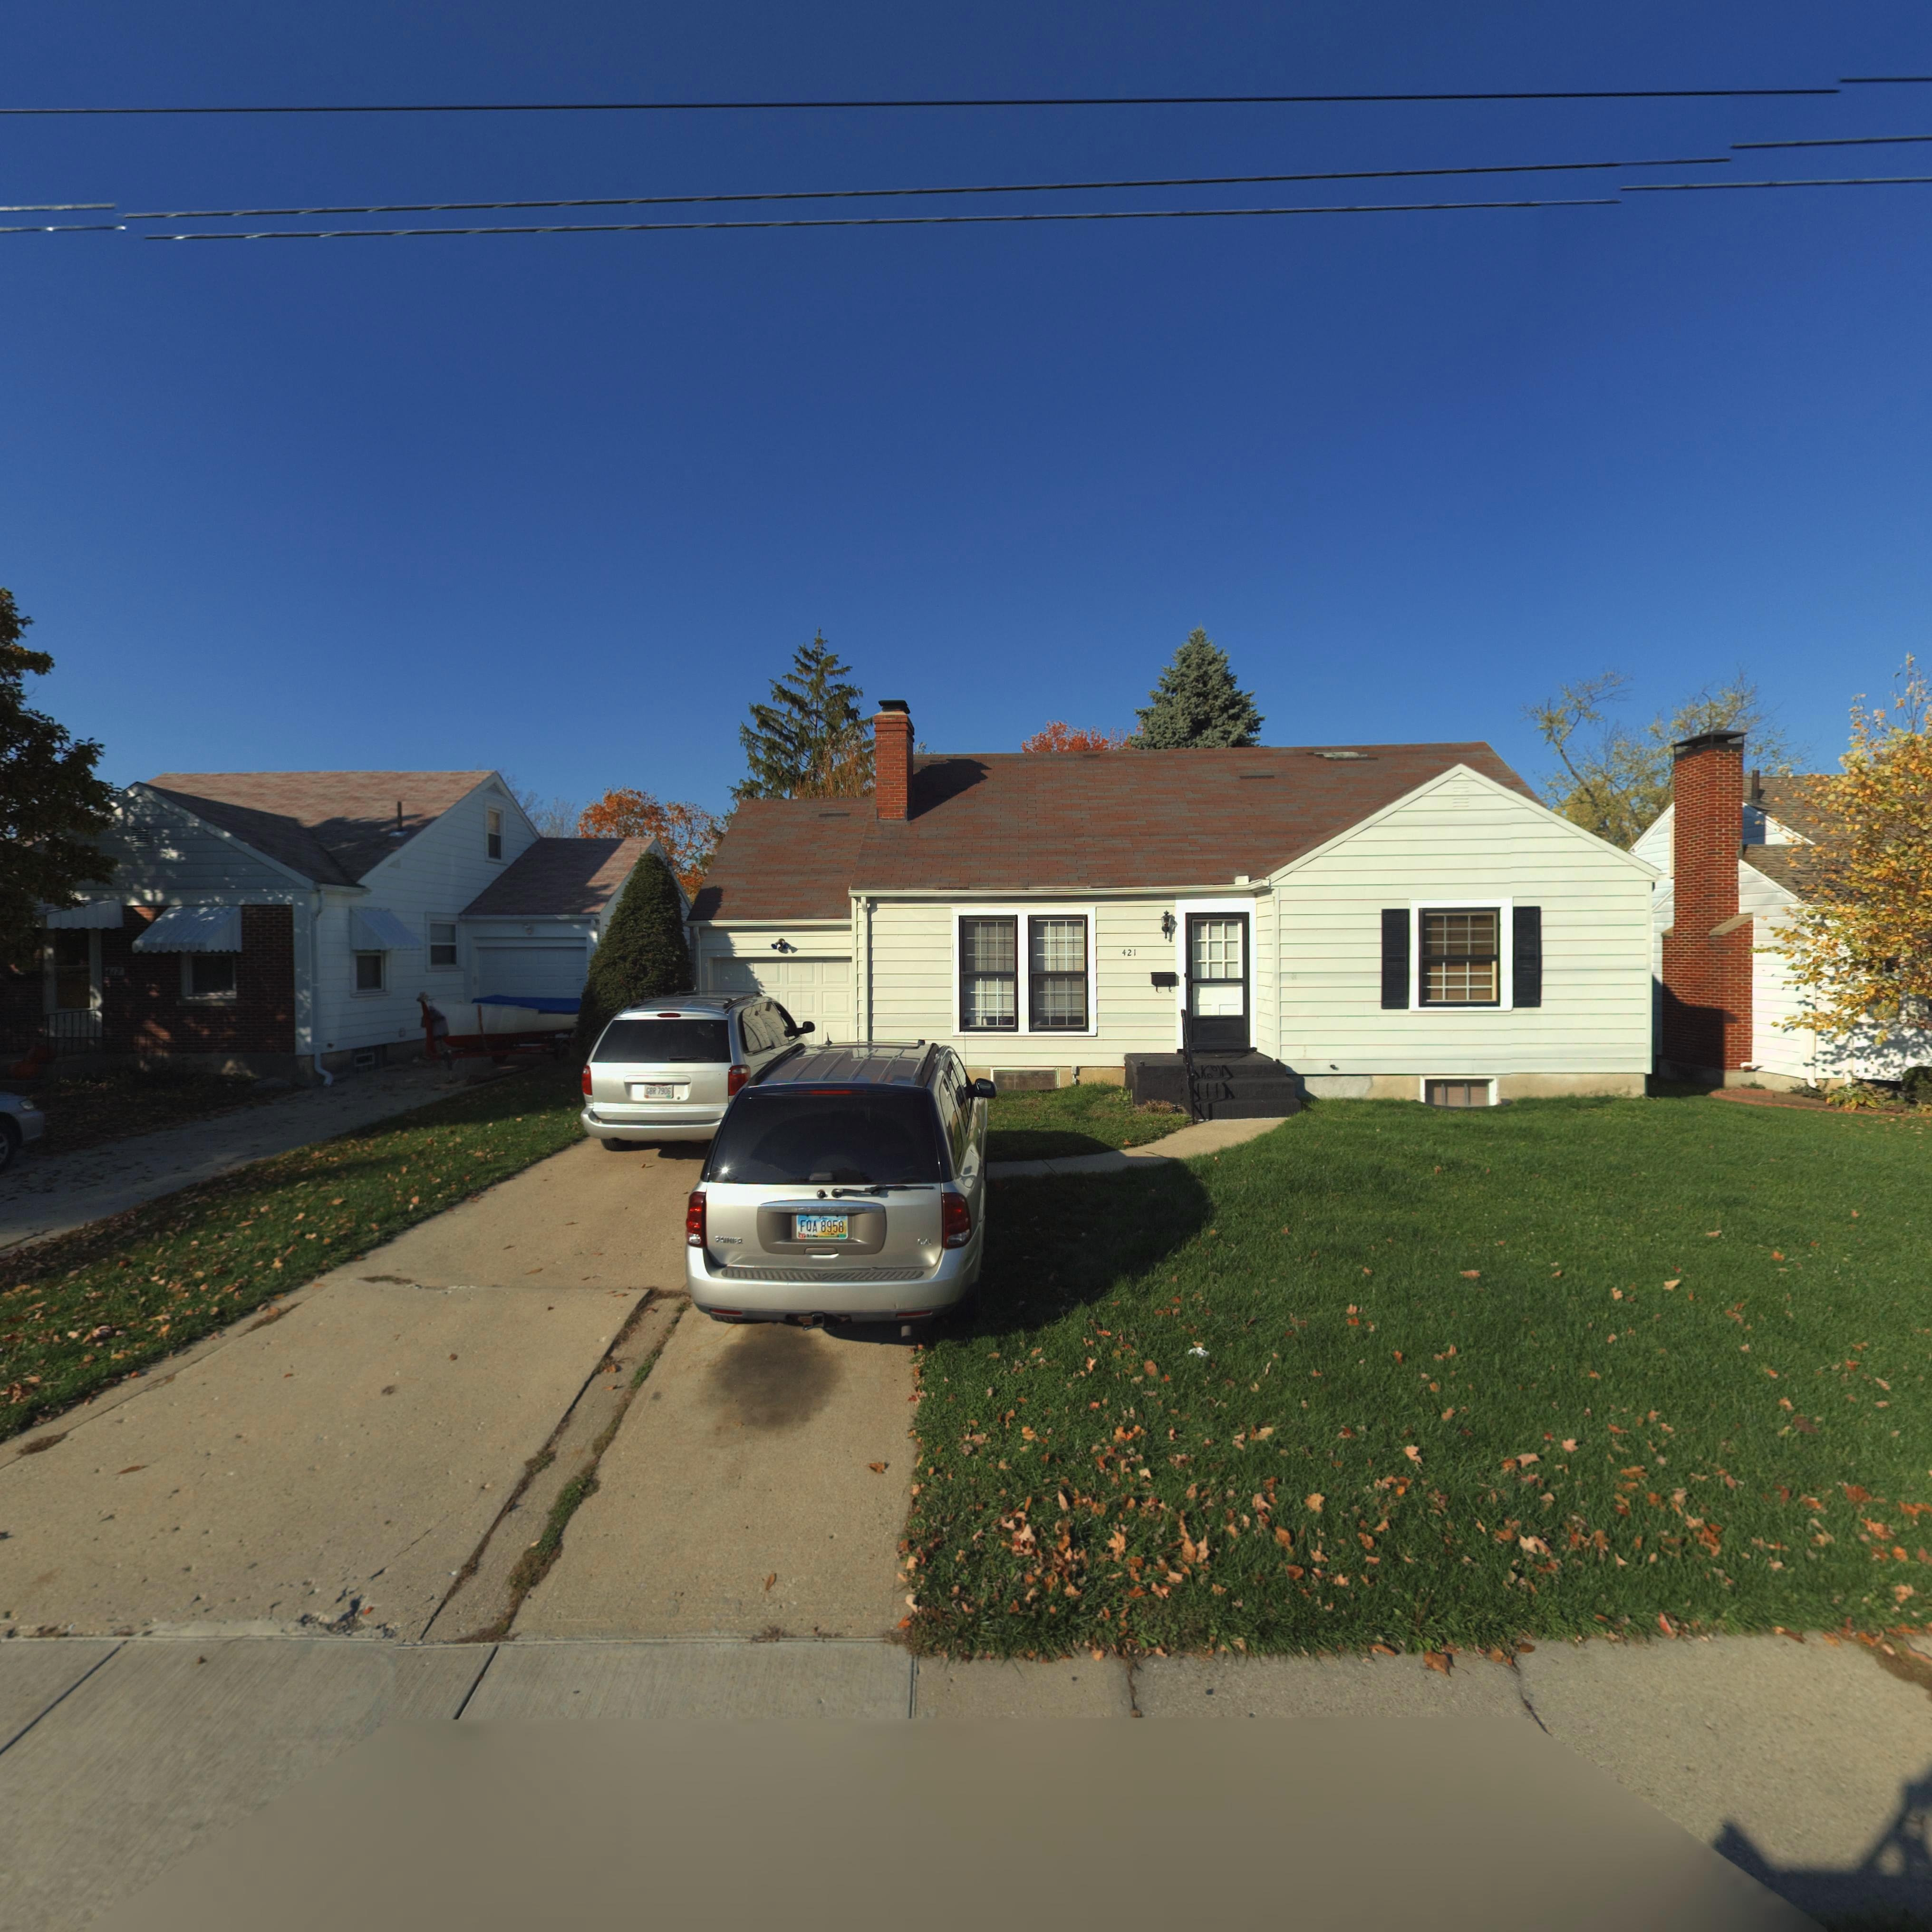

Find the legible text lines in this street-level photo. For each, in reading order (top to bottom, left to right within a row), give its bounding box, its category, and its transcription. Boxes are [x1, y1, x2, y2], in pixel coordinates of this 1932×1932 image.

[1122, 949, 1136, 956] StreetNumber: 421
[104, 967, 123, 975] StreetNumber: 417